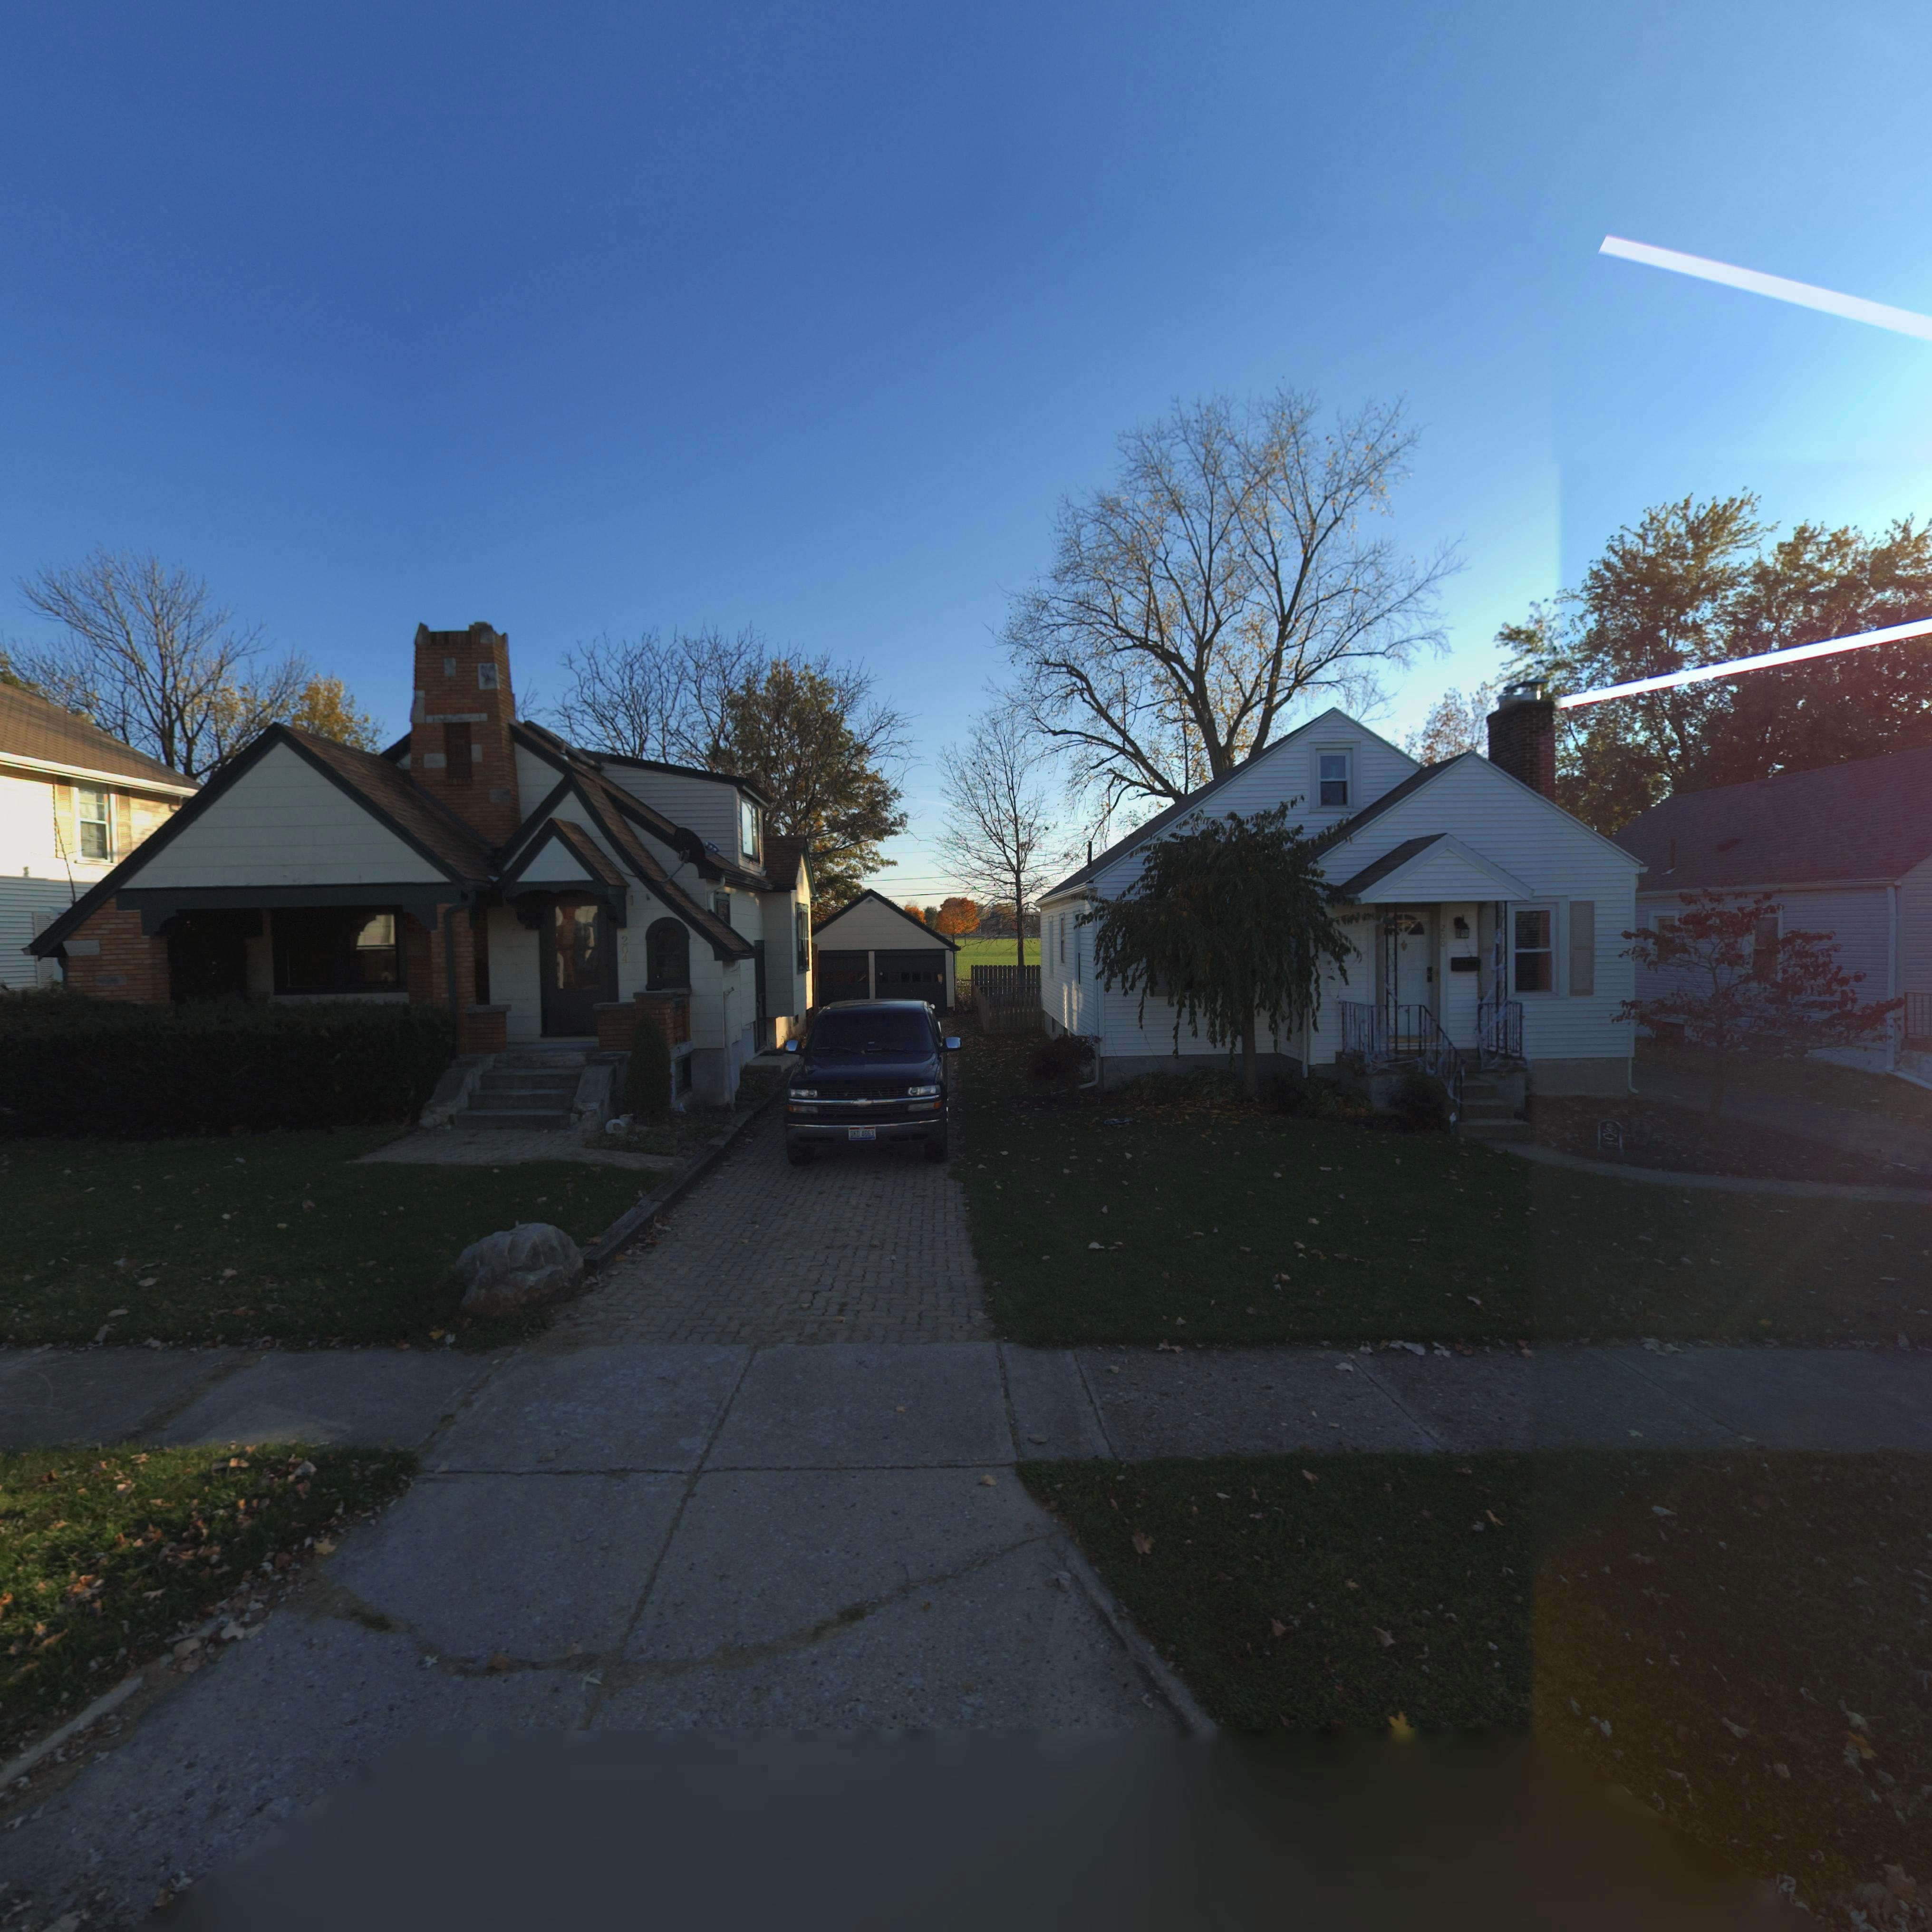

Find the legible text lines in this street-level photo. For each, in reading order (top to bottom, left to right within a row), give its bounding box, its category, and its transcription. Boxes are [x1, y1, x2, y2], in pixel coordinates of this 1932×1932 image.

[621, 935, 629, 964] StreetNumber: 204
[1439, 924, 1446, 947] StreetNumber: 200